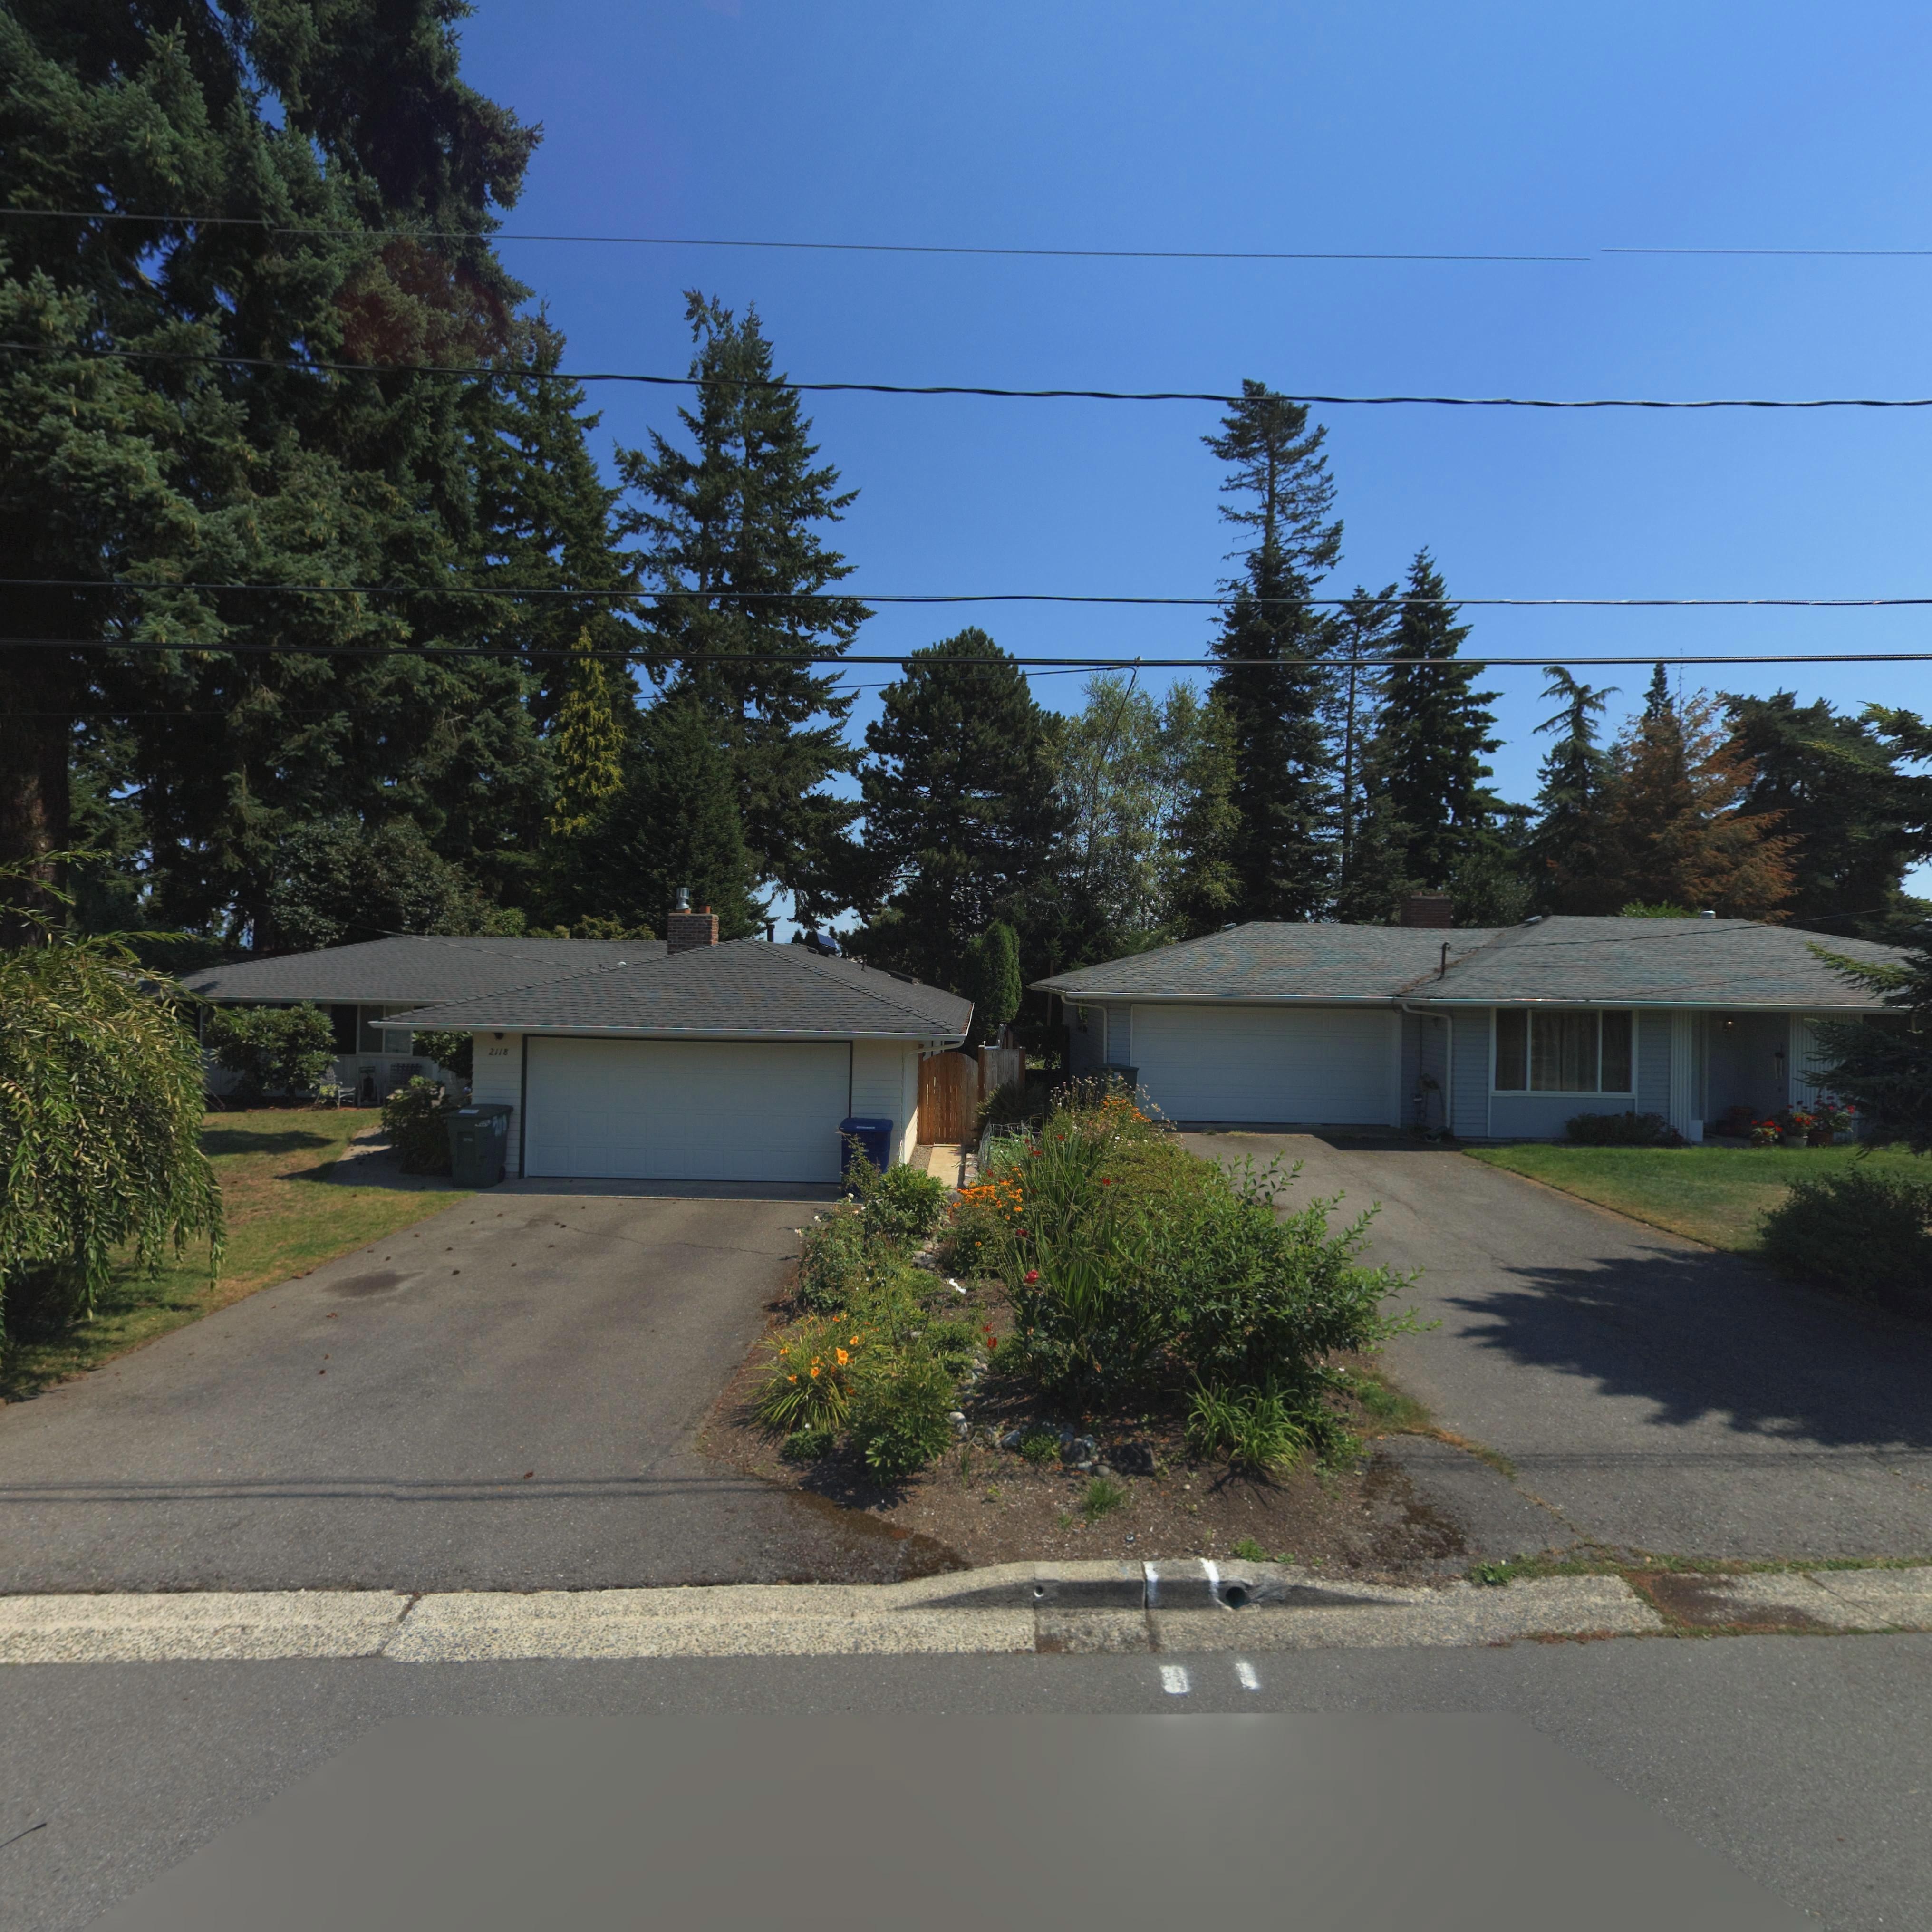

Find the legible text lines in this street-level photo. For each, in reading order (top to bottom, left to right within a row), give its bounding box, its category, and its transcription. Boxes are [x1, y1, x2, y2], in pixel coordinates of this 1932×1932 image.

[488, 1048, 510, 1056] StreetNumber: 2118